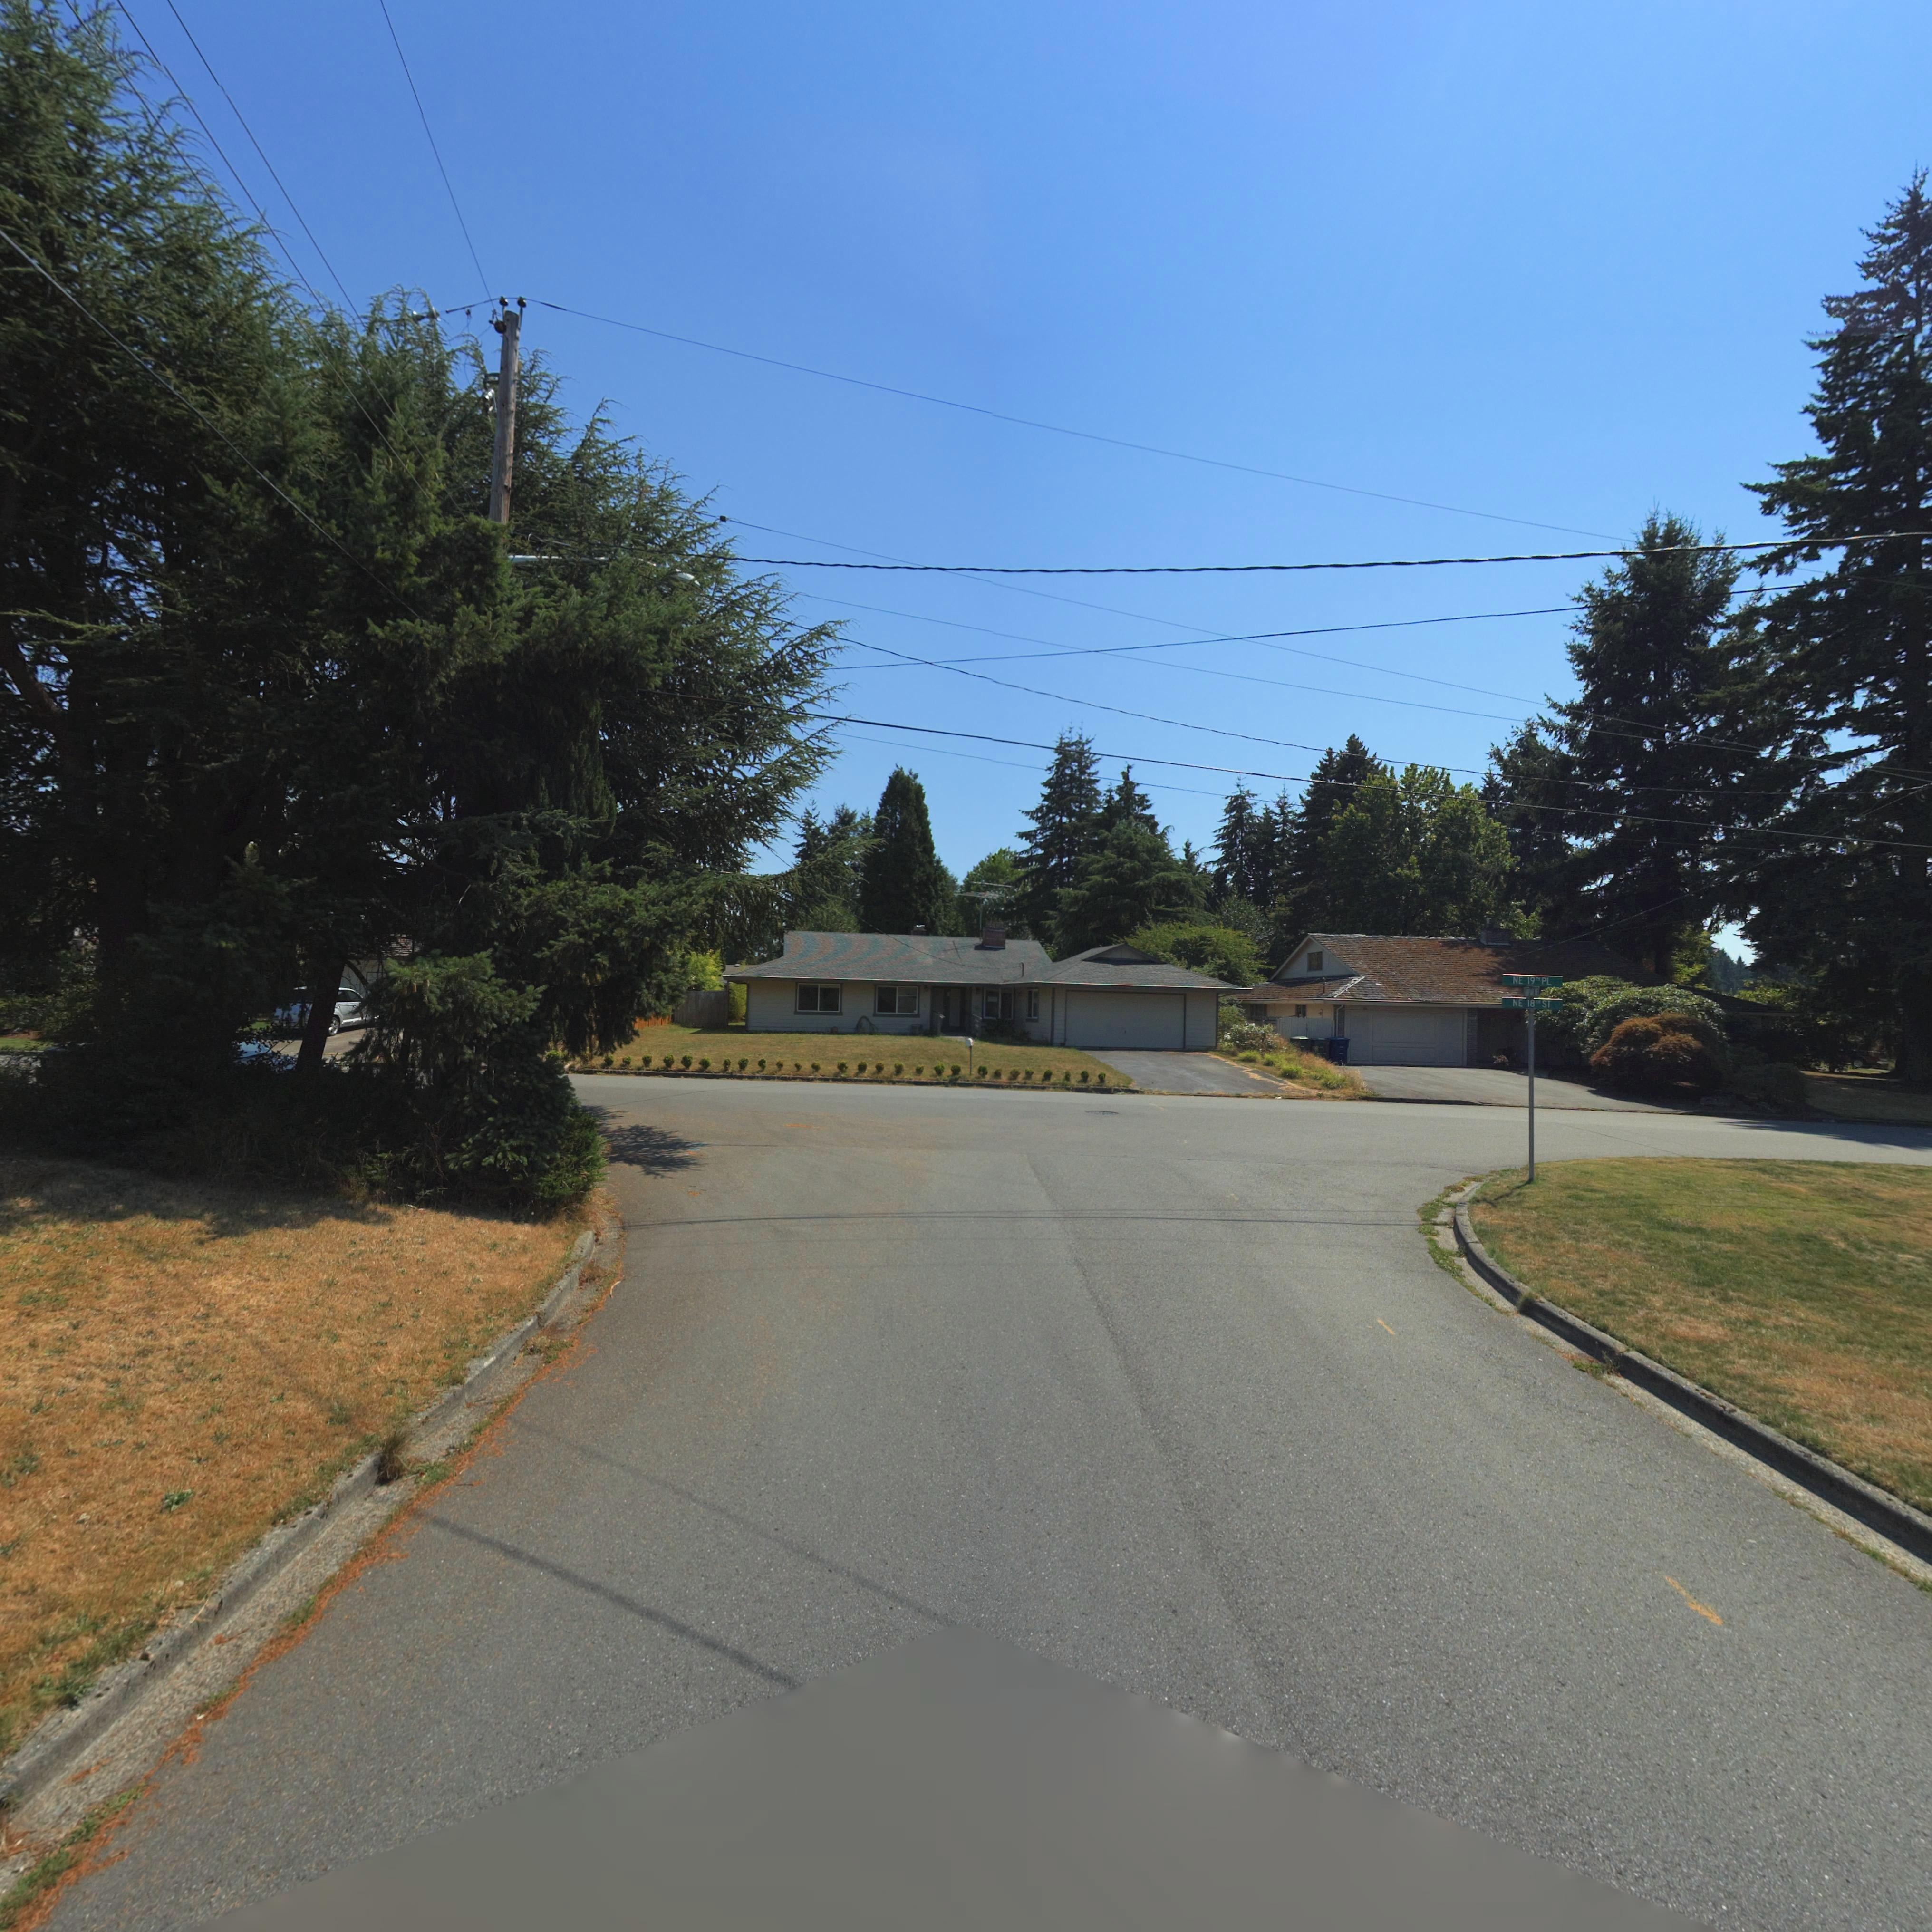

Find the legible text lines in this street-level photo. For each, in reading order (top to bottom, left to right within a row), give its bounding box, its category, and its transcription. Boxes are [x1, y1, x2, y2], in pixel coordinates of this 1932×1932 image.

[1513, 976, 1553, 985] StreetName: NE 19TH PL
[1512, 999, 1551, 1008] StreetName: NE 18 sr